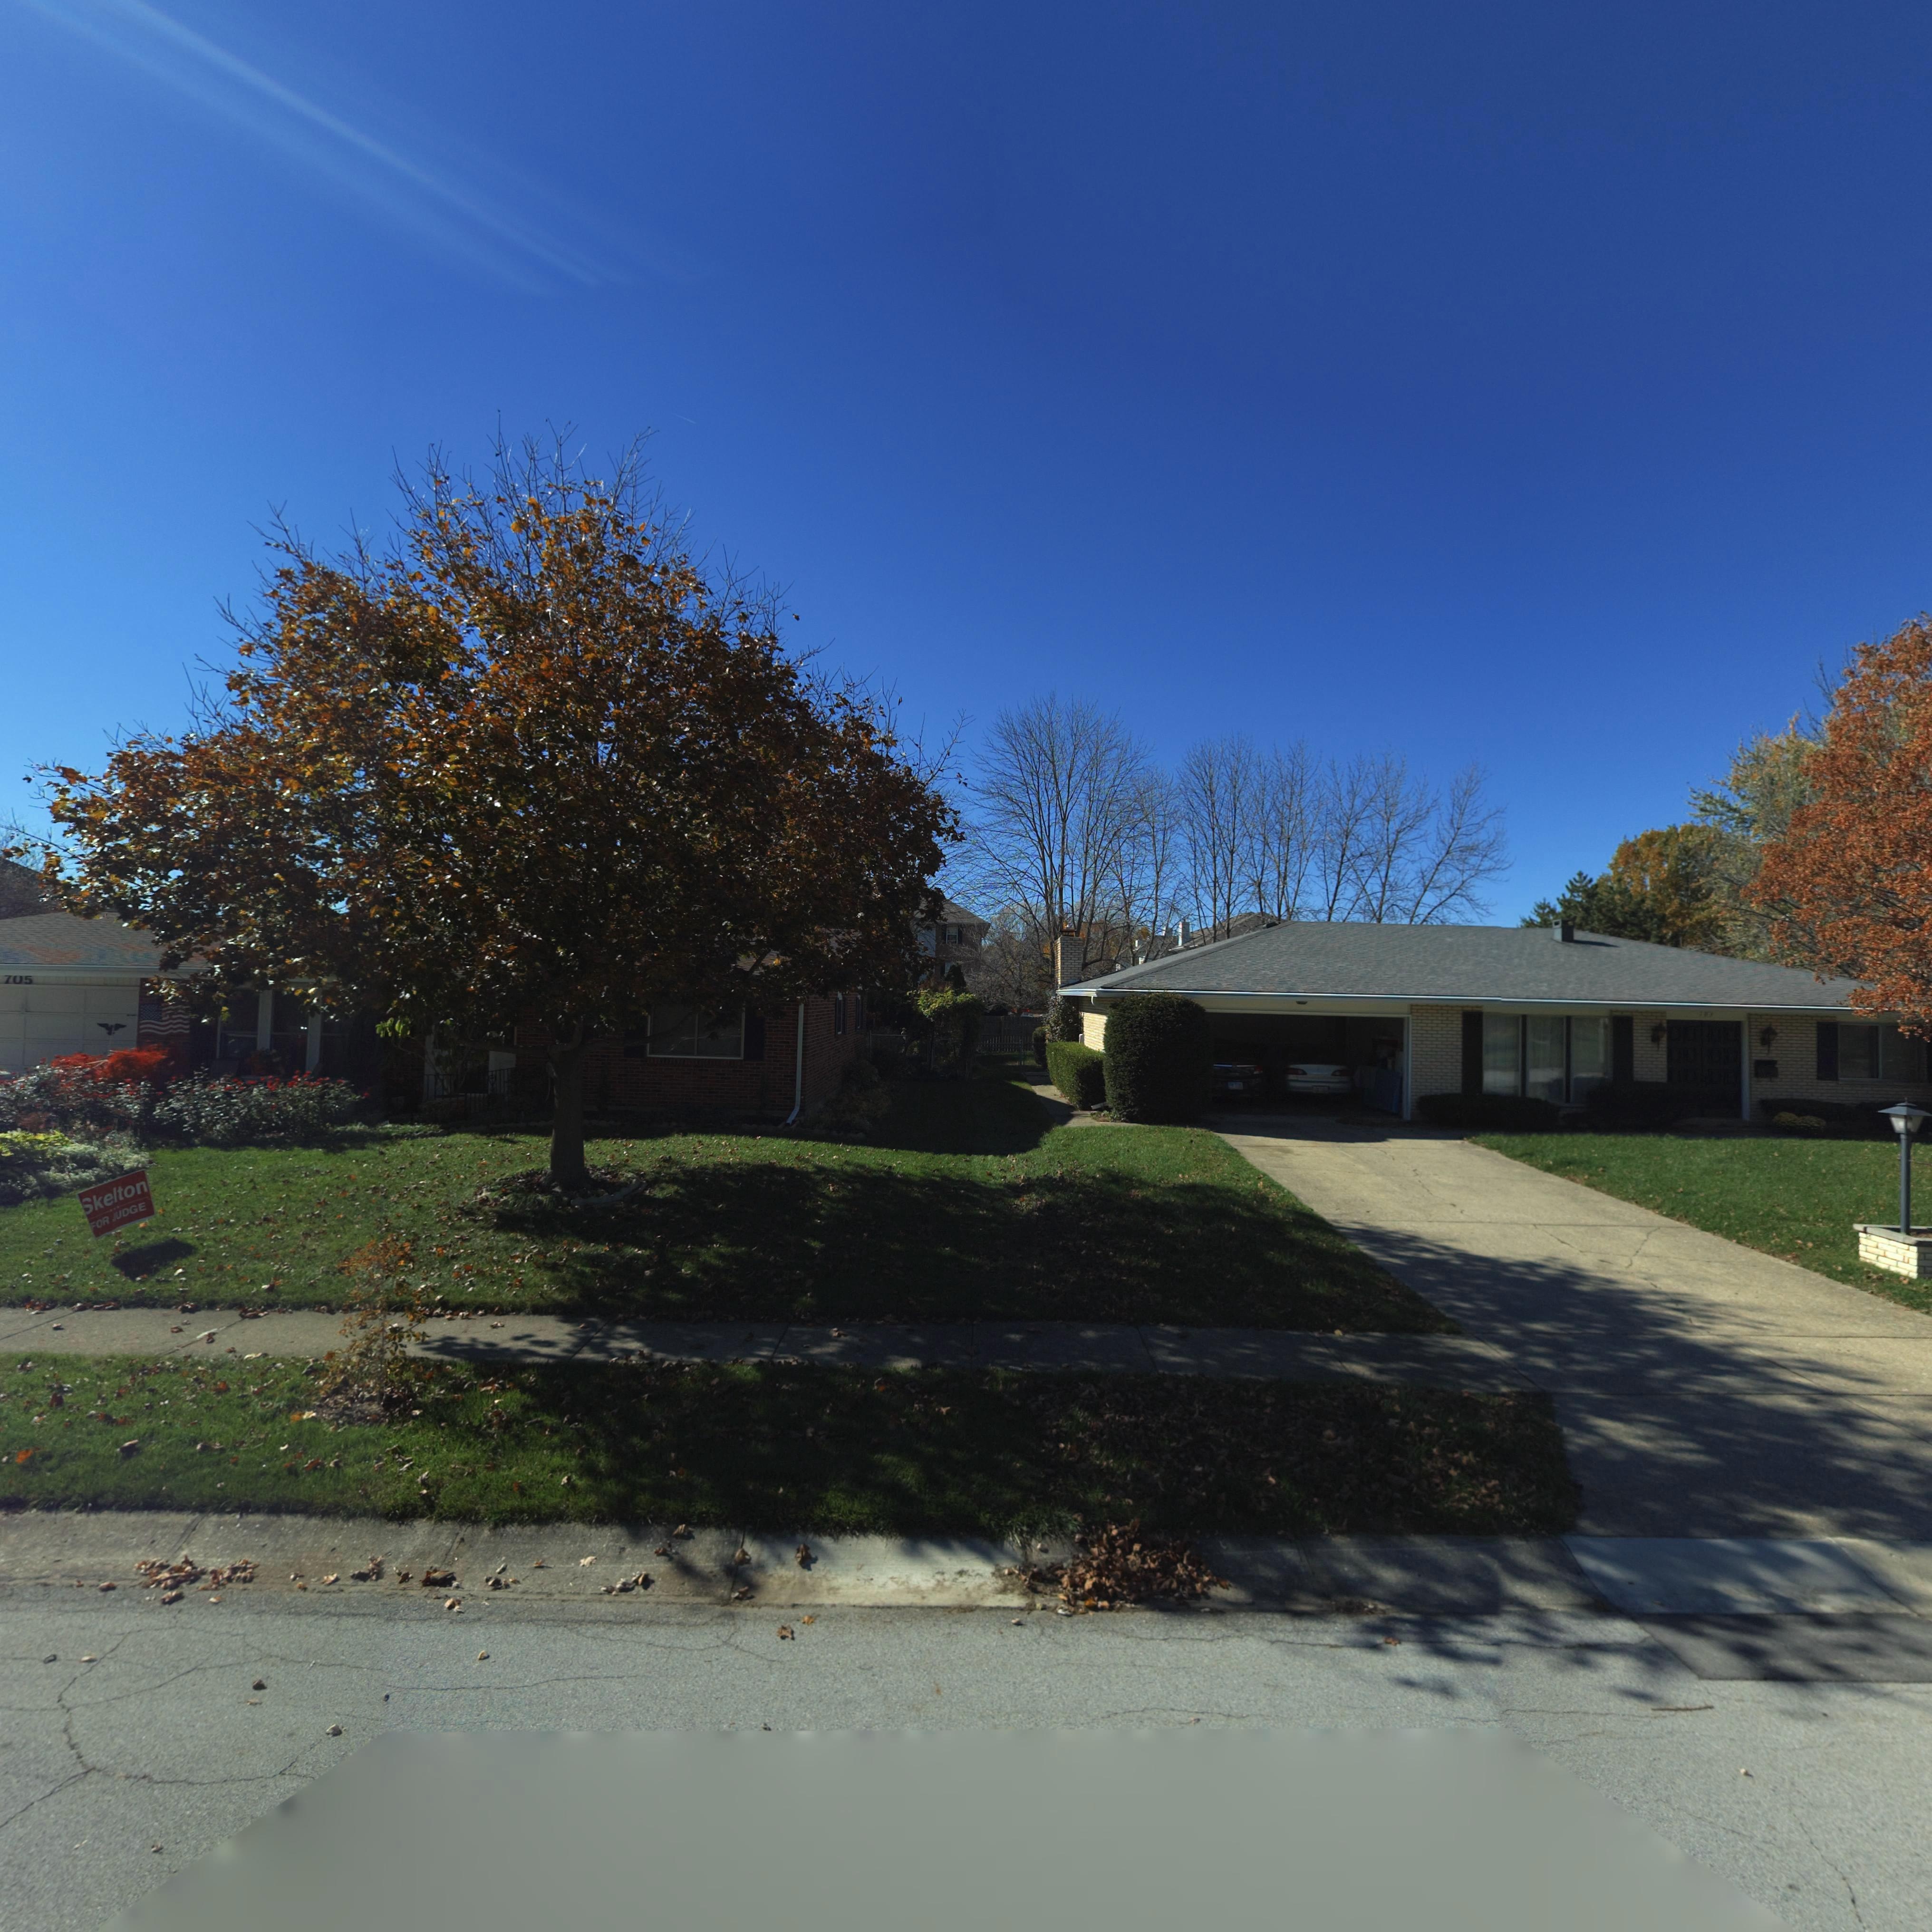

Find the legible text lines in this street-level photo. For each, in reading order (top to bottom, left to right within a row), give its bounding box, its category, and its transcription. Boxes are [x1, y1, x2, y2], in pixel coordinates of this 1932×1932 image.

[3, 975, 33, 985] StreetNumber: 7*5
[1698, 1011, 1714, 1017] StreetNumber: 703